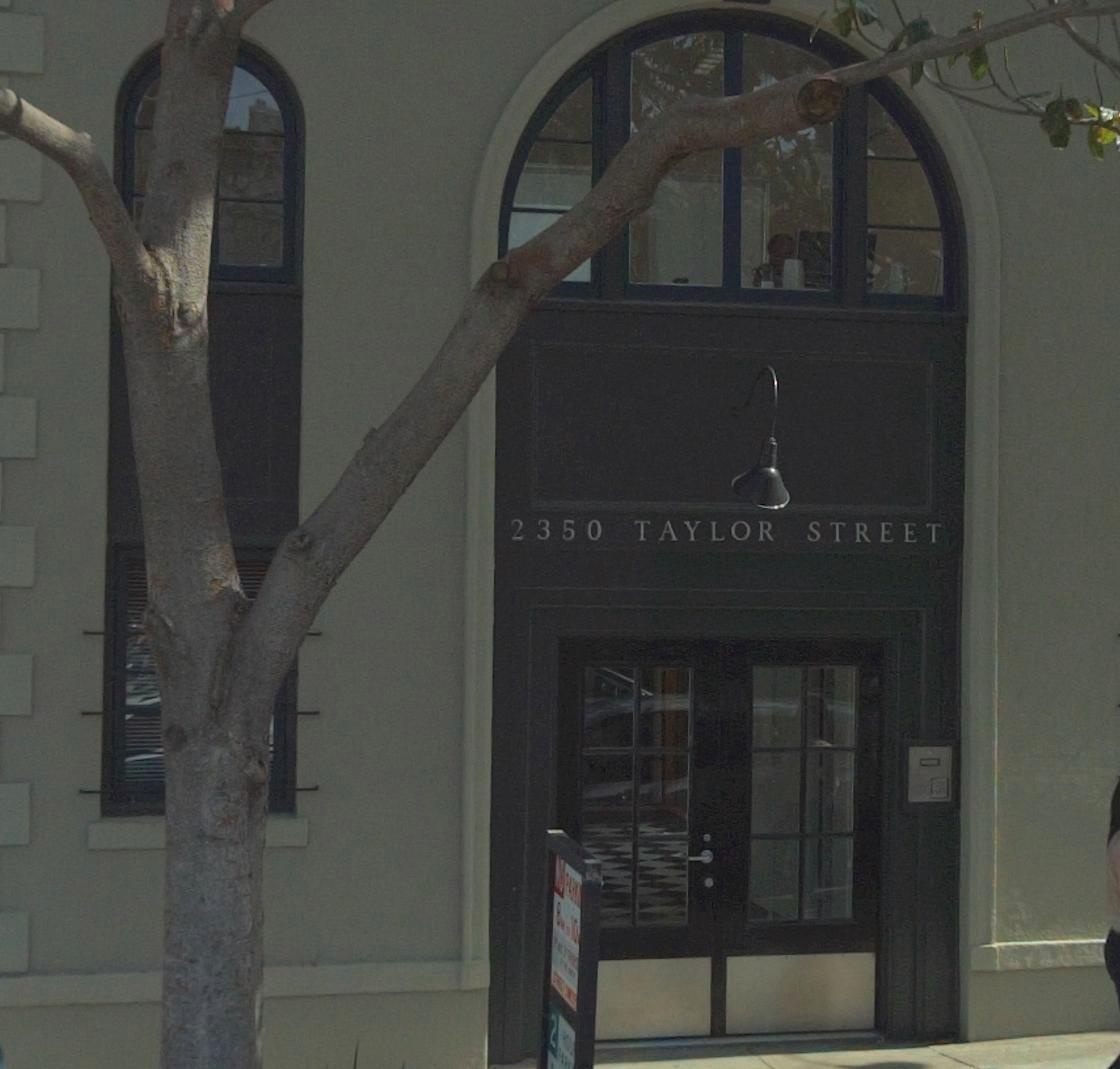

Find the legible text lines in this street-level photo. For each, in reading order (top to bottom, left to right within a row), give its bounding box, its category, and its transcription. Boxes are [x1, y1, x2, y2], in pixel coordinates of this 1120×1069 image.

[507, 516, 606, 543] StreetNumber: 2350
[633, 518, 943, 544] StreetName: TAYOR STREET
[548, 1010, 559, 1050] None: 2